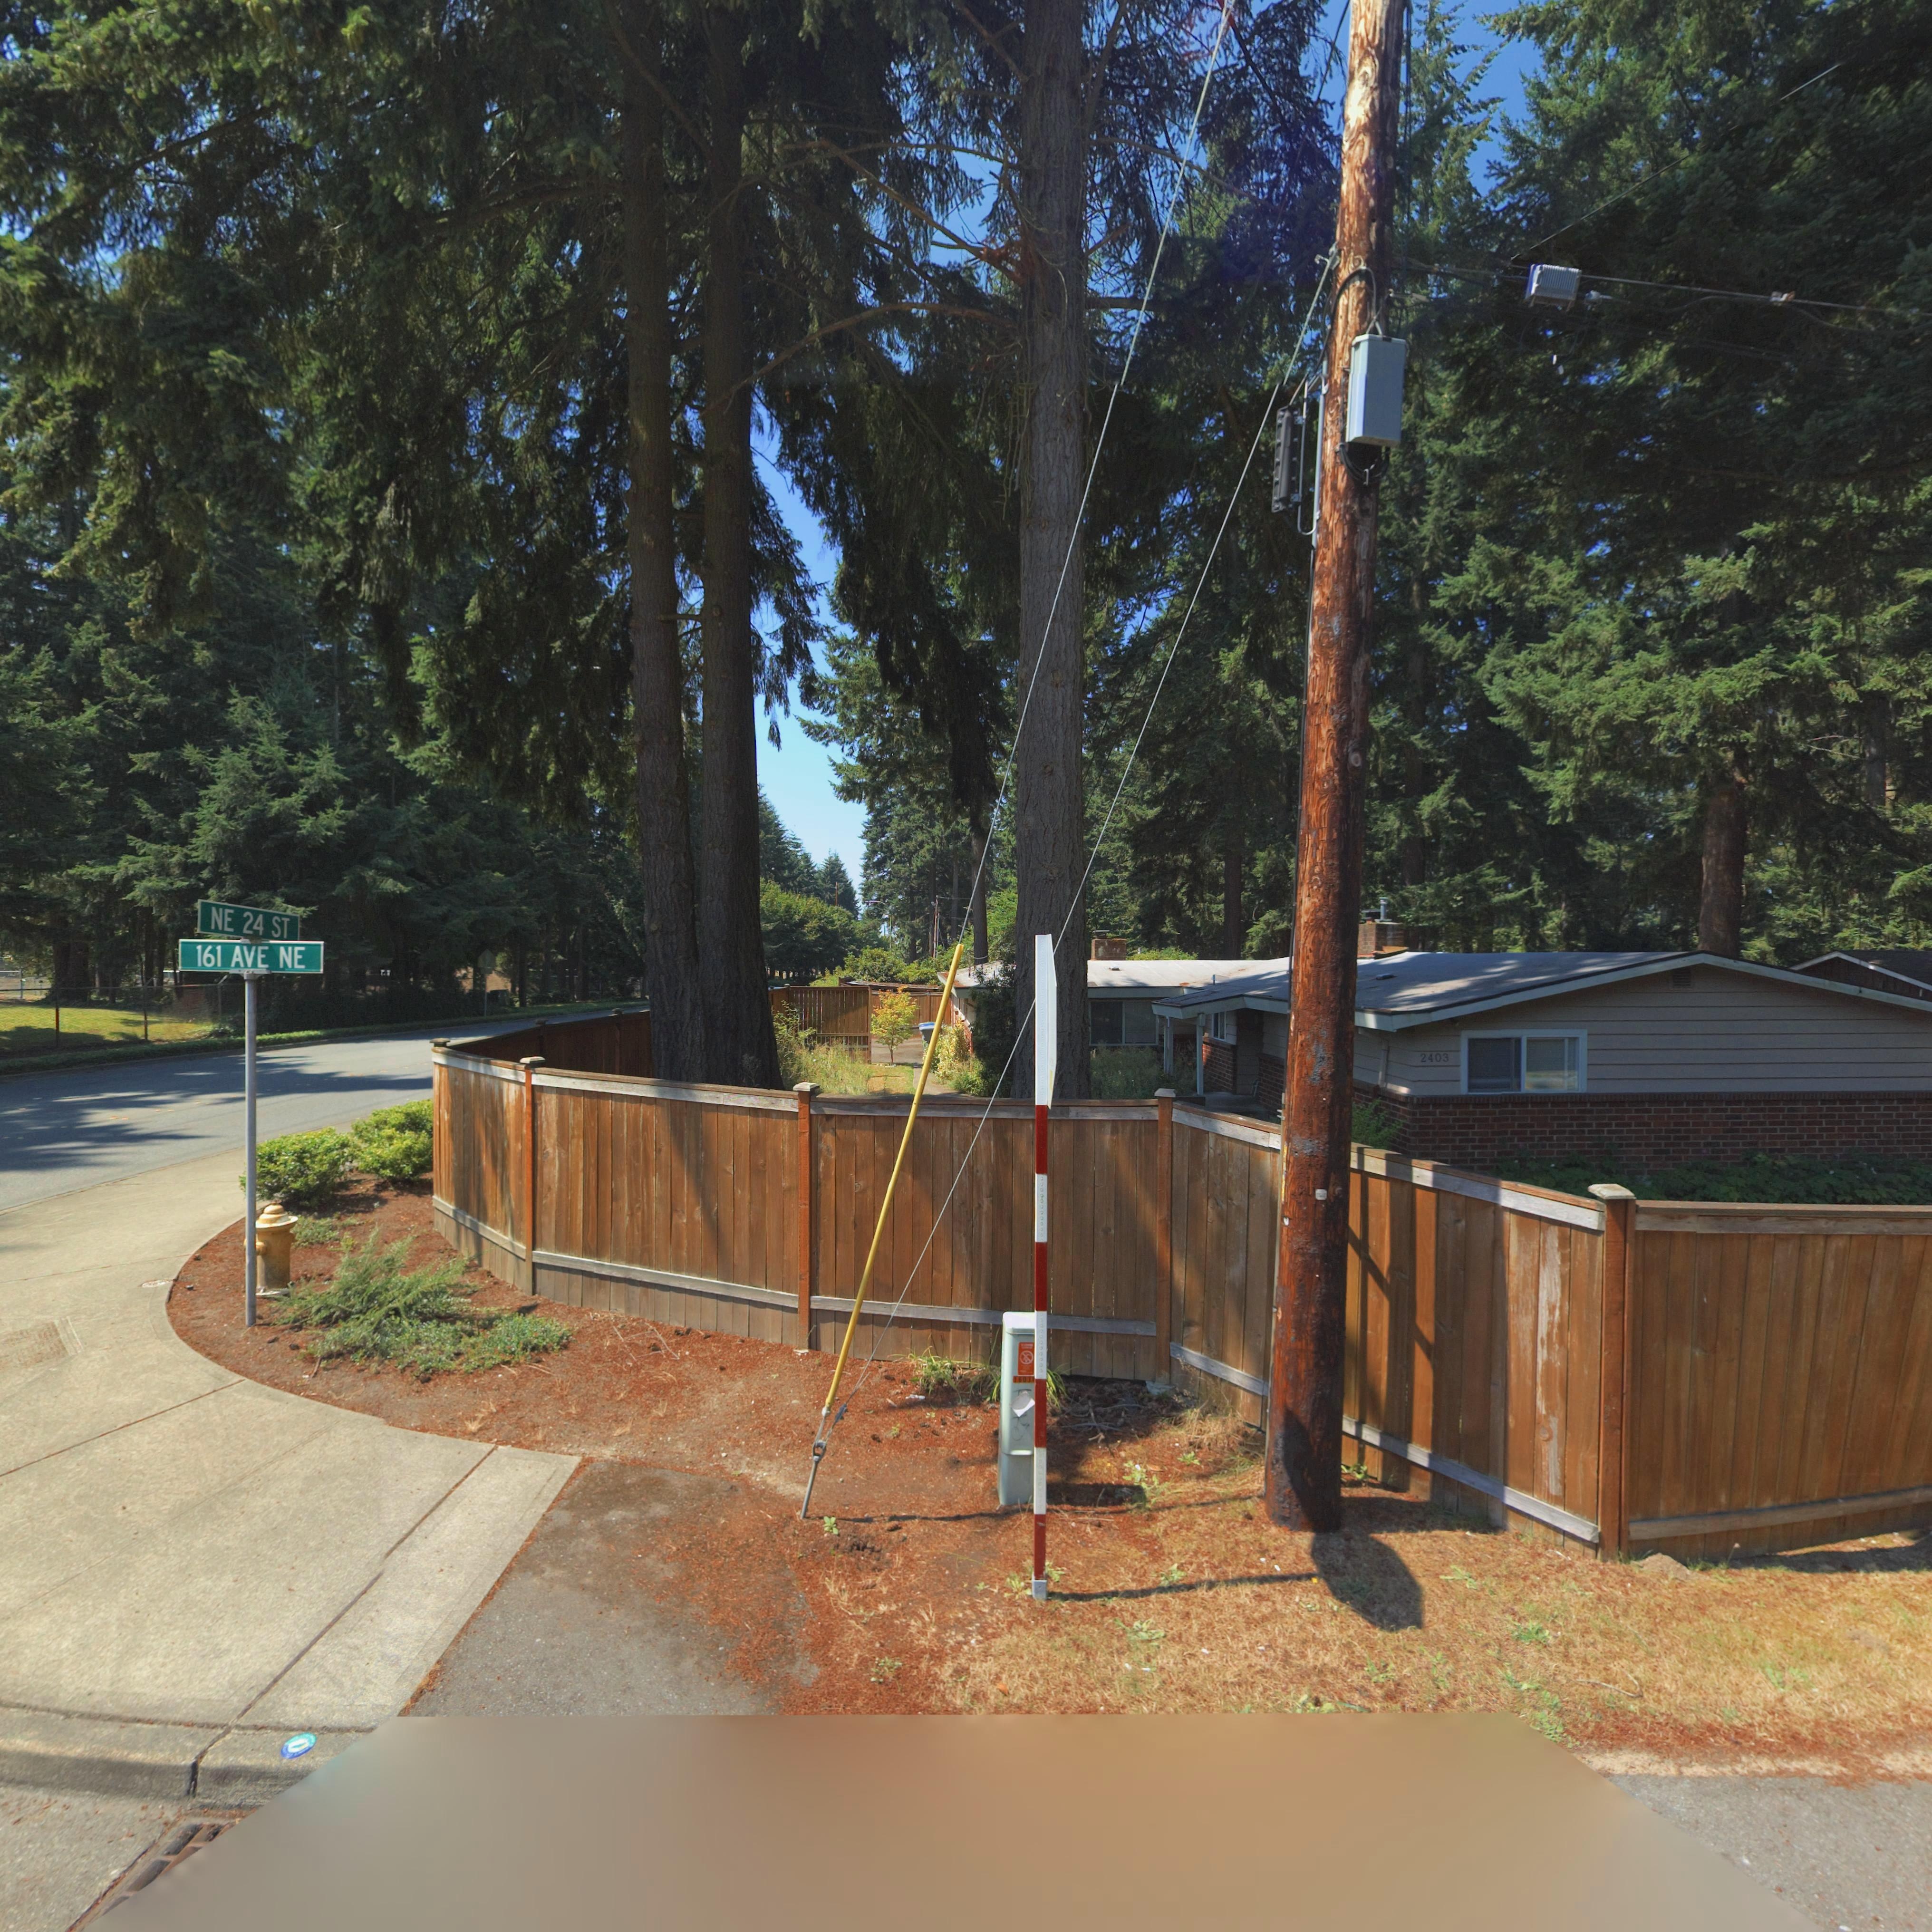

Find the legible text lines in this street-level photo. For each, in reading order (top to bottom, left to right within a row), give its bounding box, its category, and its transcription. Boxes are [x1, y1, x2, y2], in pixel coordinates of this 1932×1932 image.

[210, 905, 291, 939] StreetName: NE 24 ST
[195, 944, 307, 969] StreetName: 161 AVE NE
[1420, 1053, 1449, 1063] StreetNumber: 2403